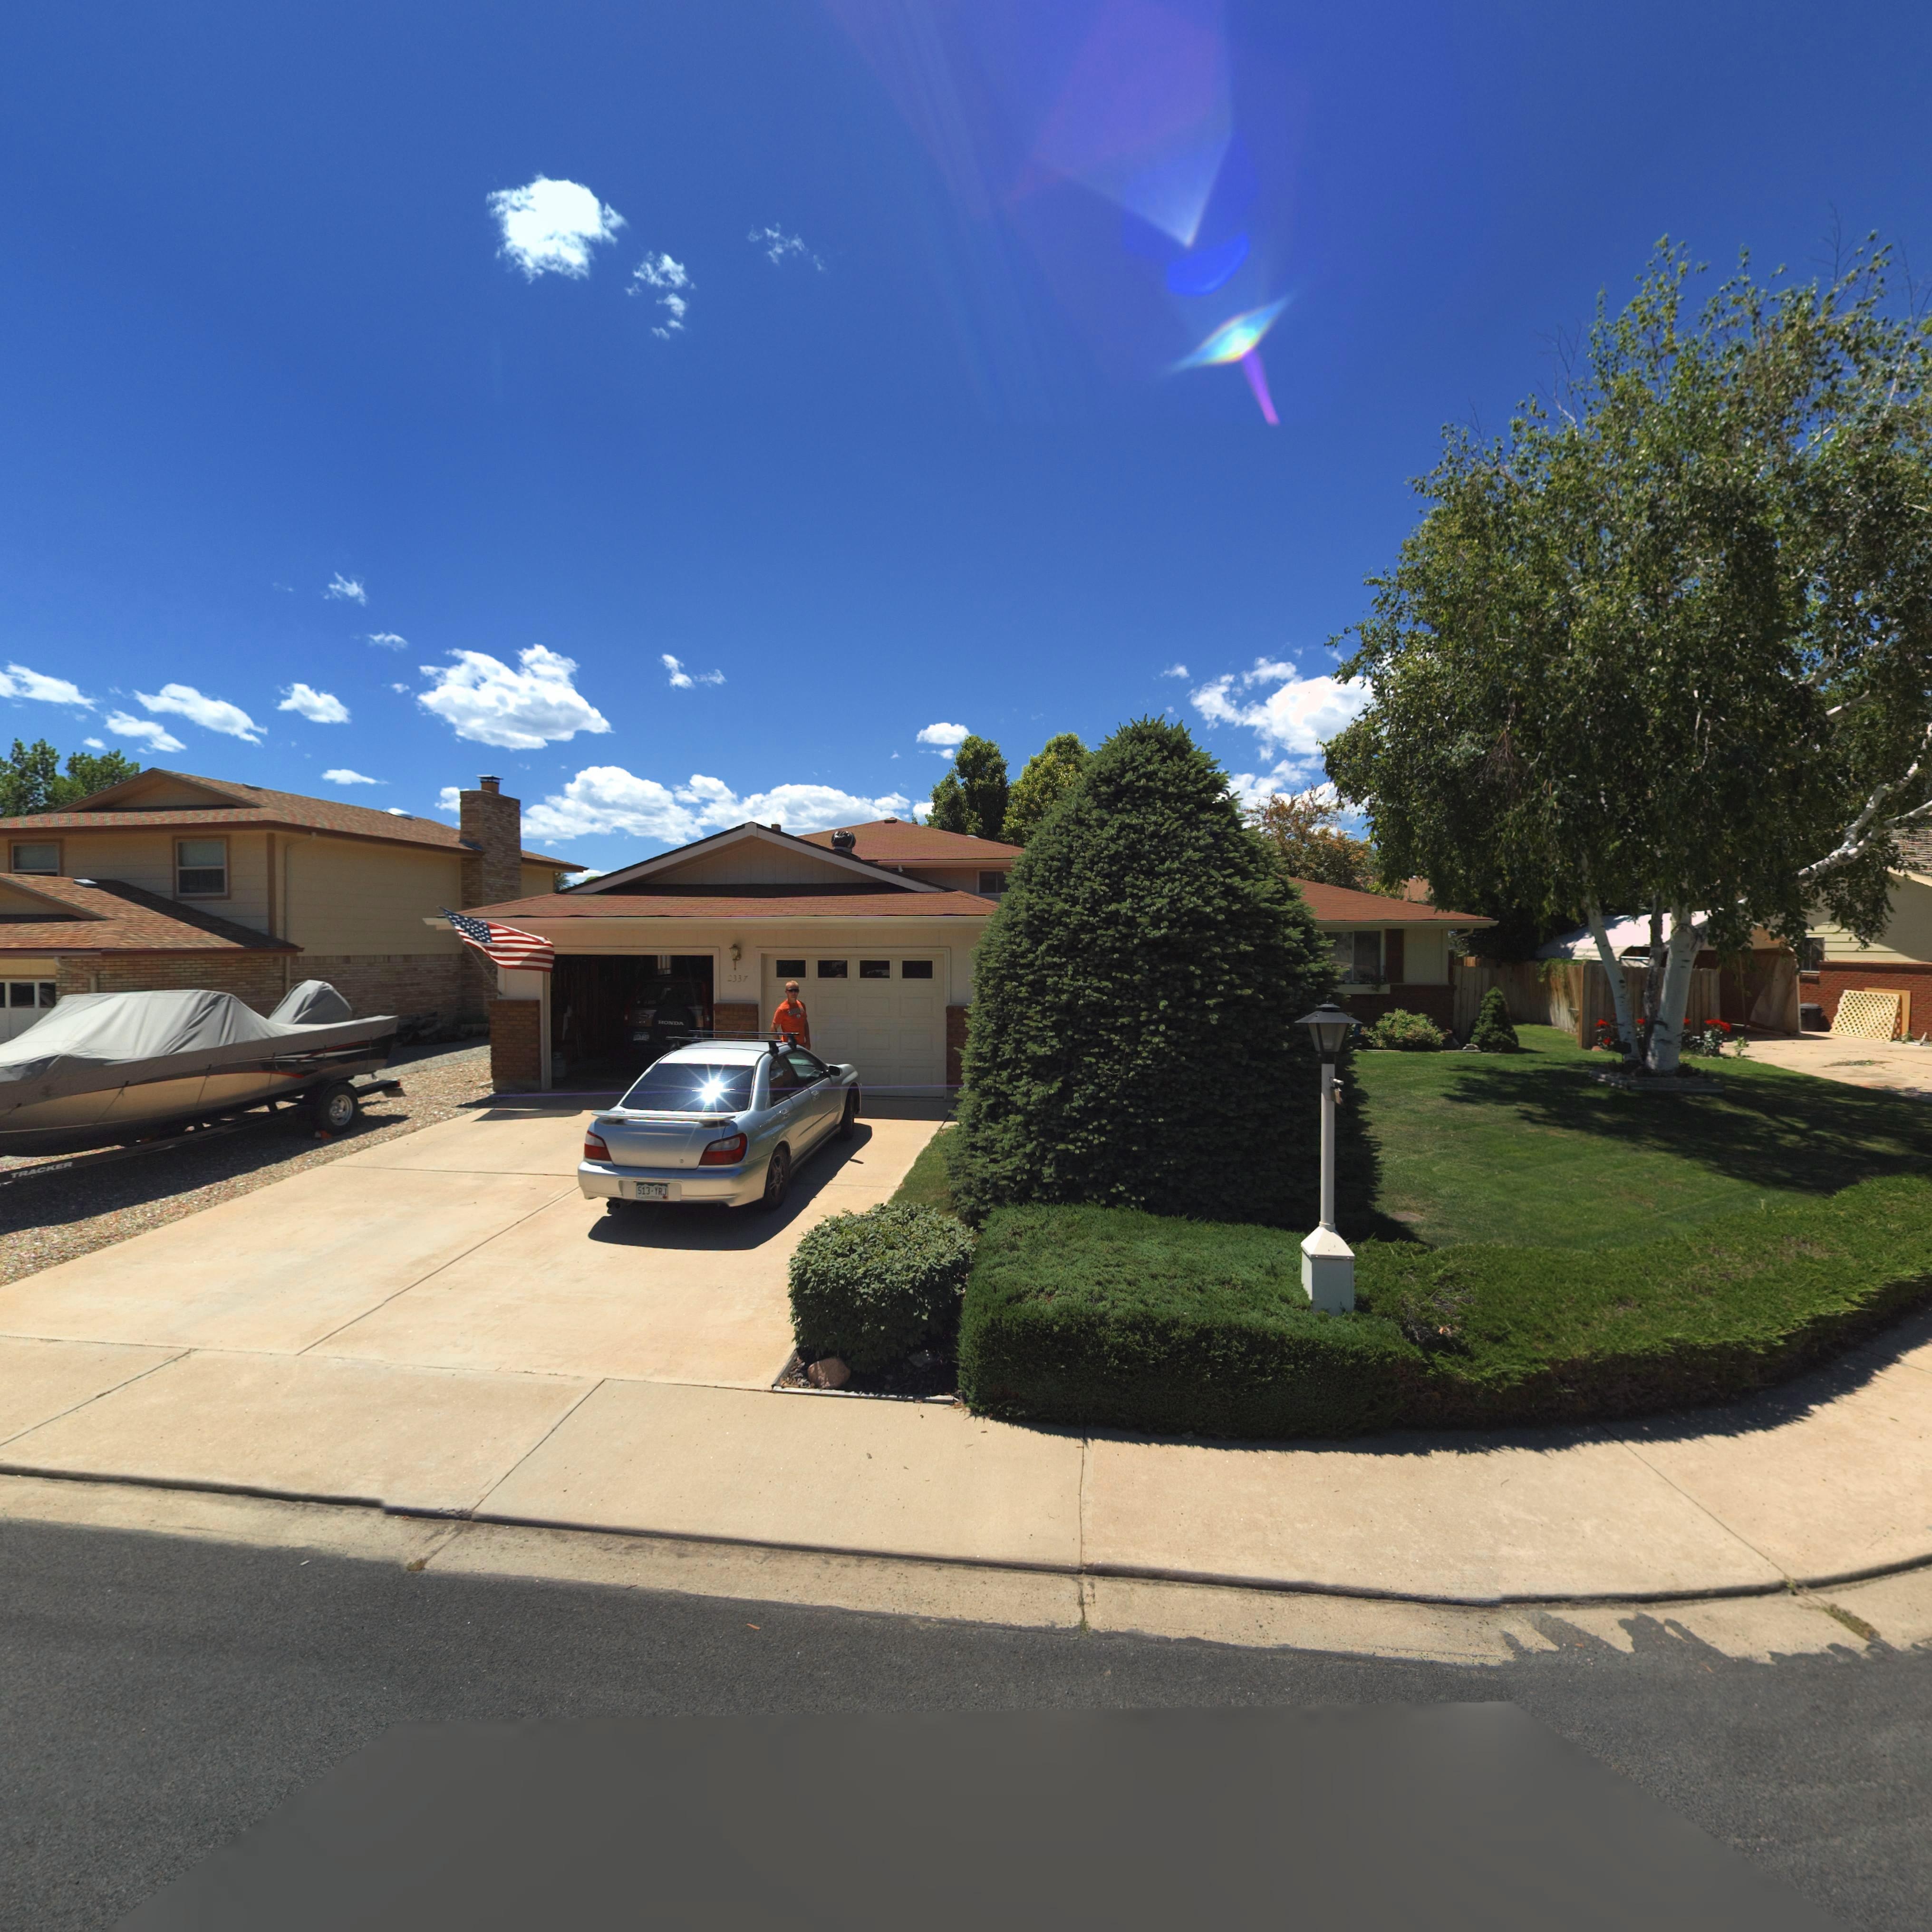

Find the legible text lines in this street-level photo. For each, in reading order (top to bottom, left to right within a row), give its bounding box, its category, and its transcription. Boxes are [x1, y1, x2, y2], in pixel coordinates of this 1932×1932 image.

[726, 974, 748, 983] StreetNumber: 2337